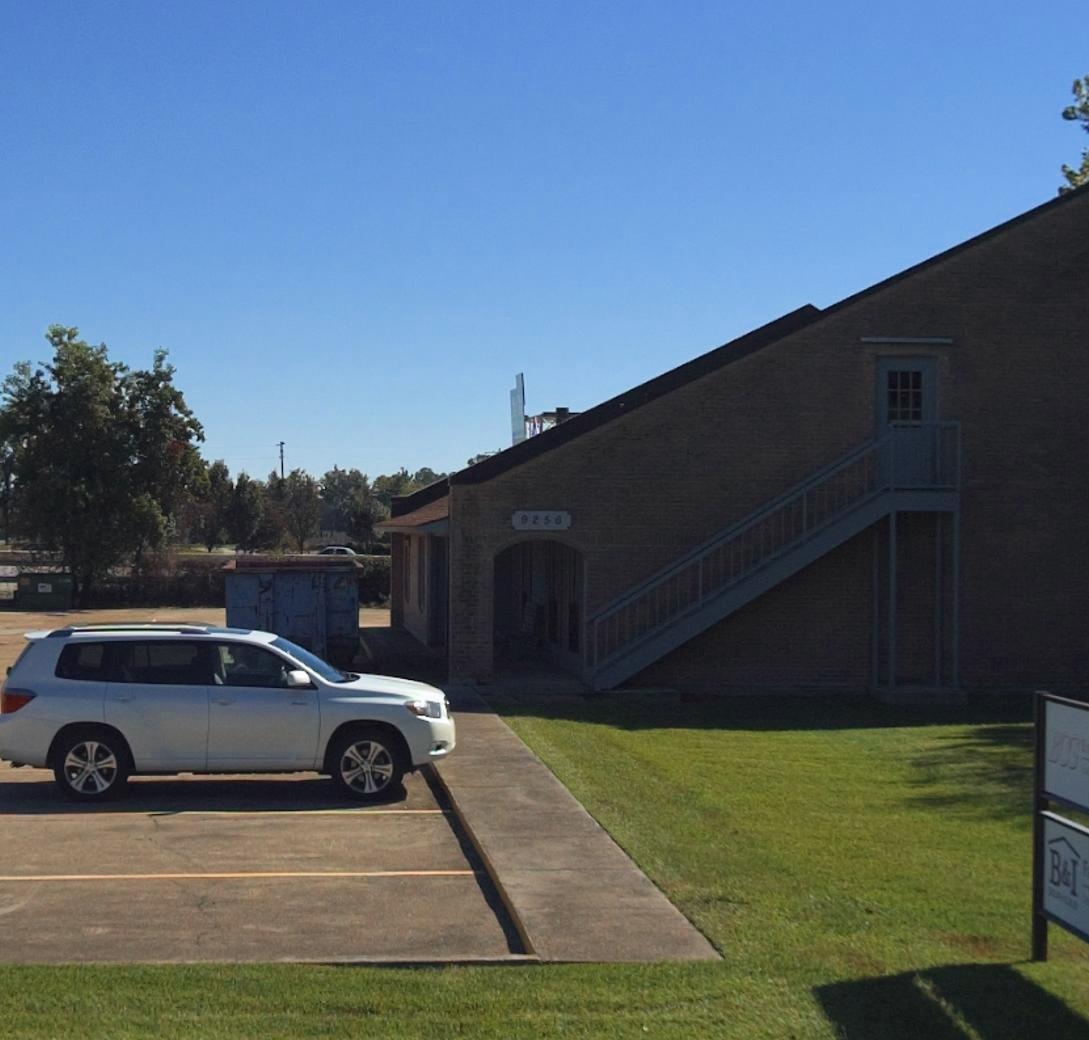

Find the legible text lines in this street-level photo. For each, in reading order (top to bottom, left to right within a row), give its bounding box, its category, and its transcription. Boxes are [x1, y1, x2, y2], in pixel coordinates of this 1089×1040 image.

[518, 513, 564, 526] StreetNumber: 9256
[1045, 723, 1081, 776] None: BOG
[1048, 844, 1080, 900] None: B&I